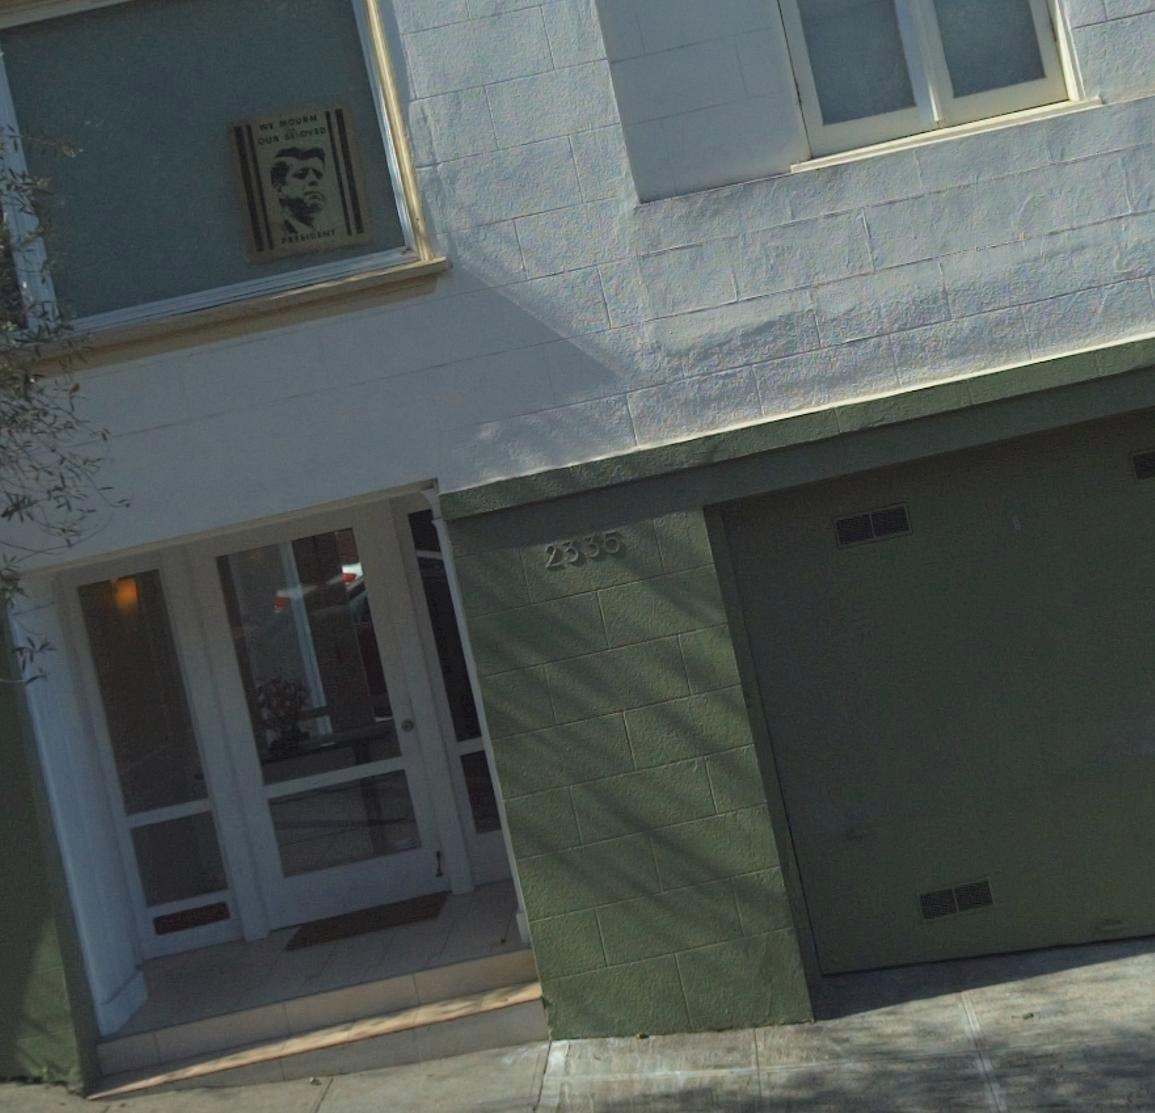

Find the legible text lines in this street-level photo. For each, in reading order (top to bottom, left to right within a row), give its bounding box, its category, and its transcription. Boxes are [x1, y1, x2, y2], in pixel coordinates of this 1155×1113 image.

[255, 111, 321, 132] None: ** *OU**
[255, 125, 328, 146] None: OU* ***OVED
[280, 227, 336, 246] None: ****ID*NT
[543, 528, 622, 571] StreetNumber: 2335